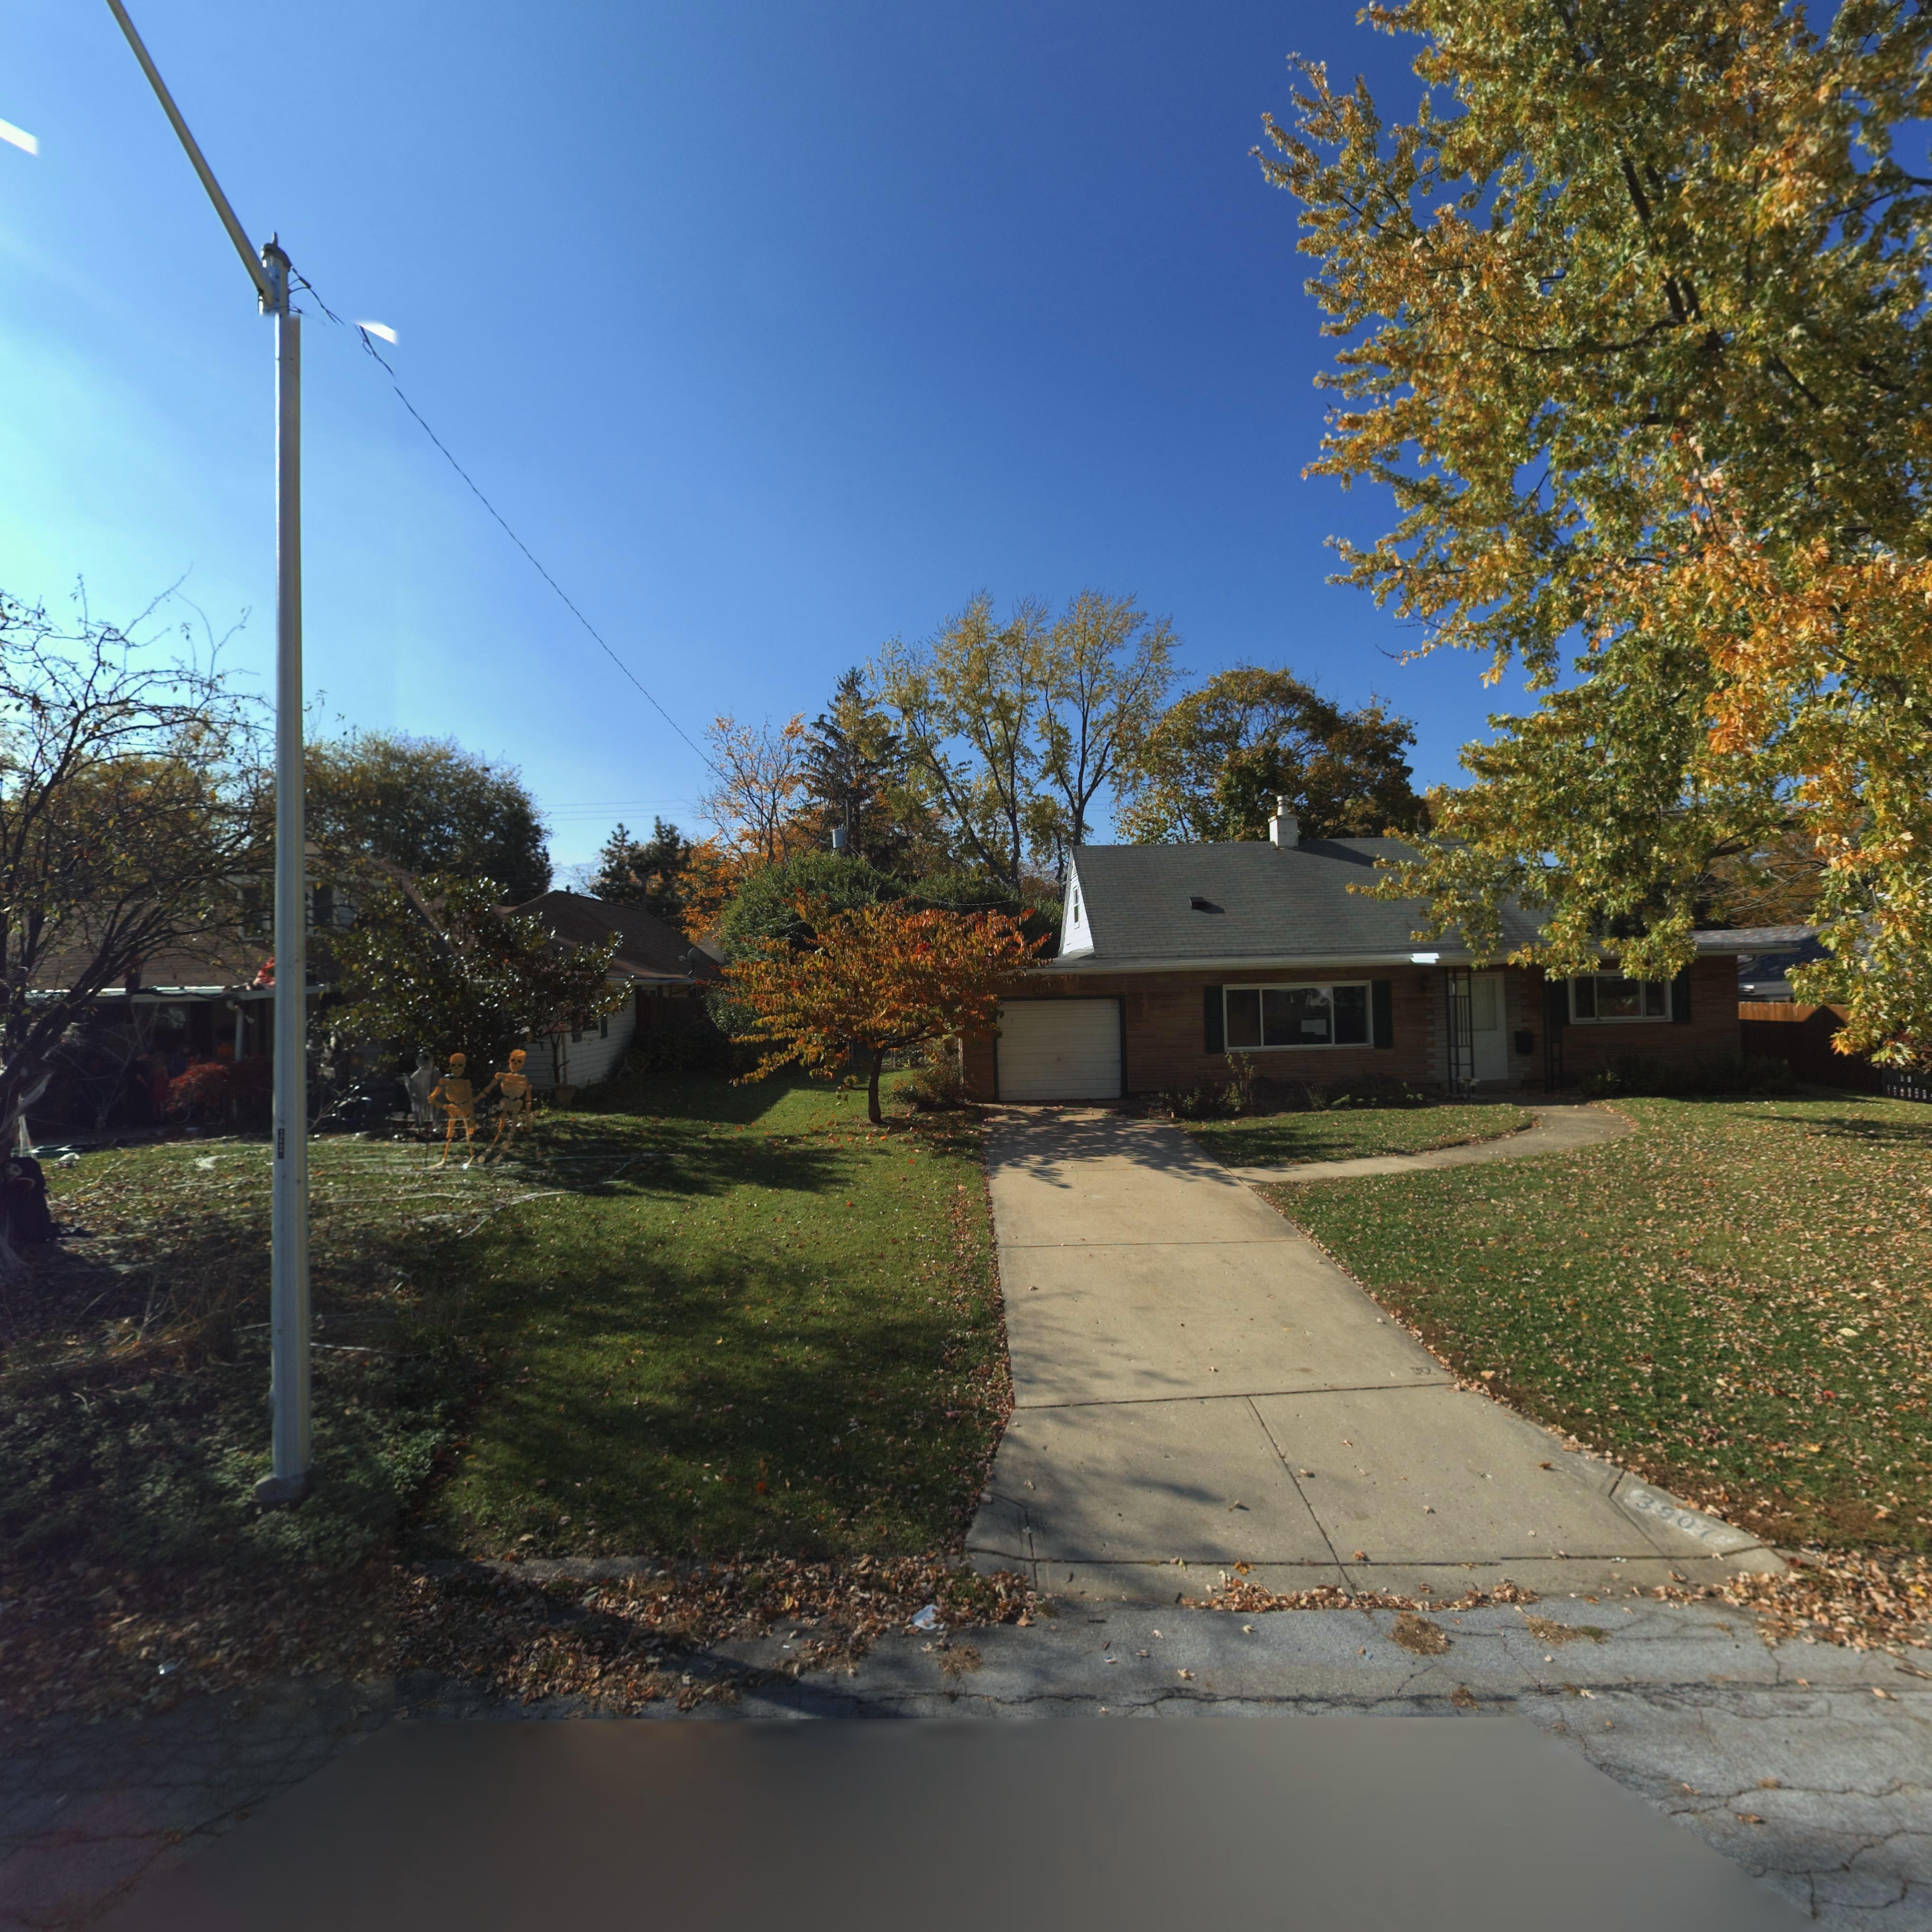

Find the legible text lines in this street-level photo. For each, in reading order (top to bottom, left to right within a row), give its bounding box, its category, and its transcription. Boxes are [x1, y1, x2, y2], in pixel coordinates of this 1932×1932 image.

[278, 1129, 284, 1153] None: 1352*
[1633, 1492, 1720, 1539] StreetNumber: 3907